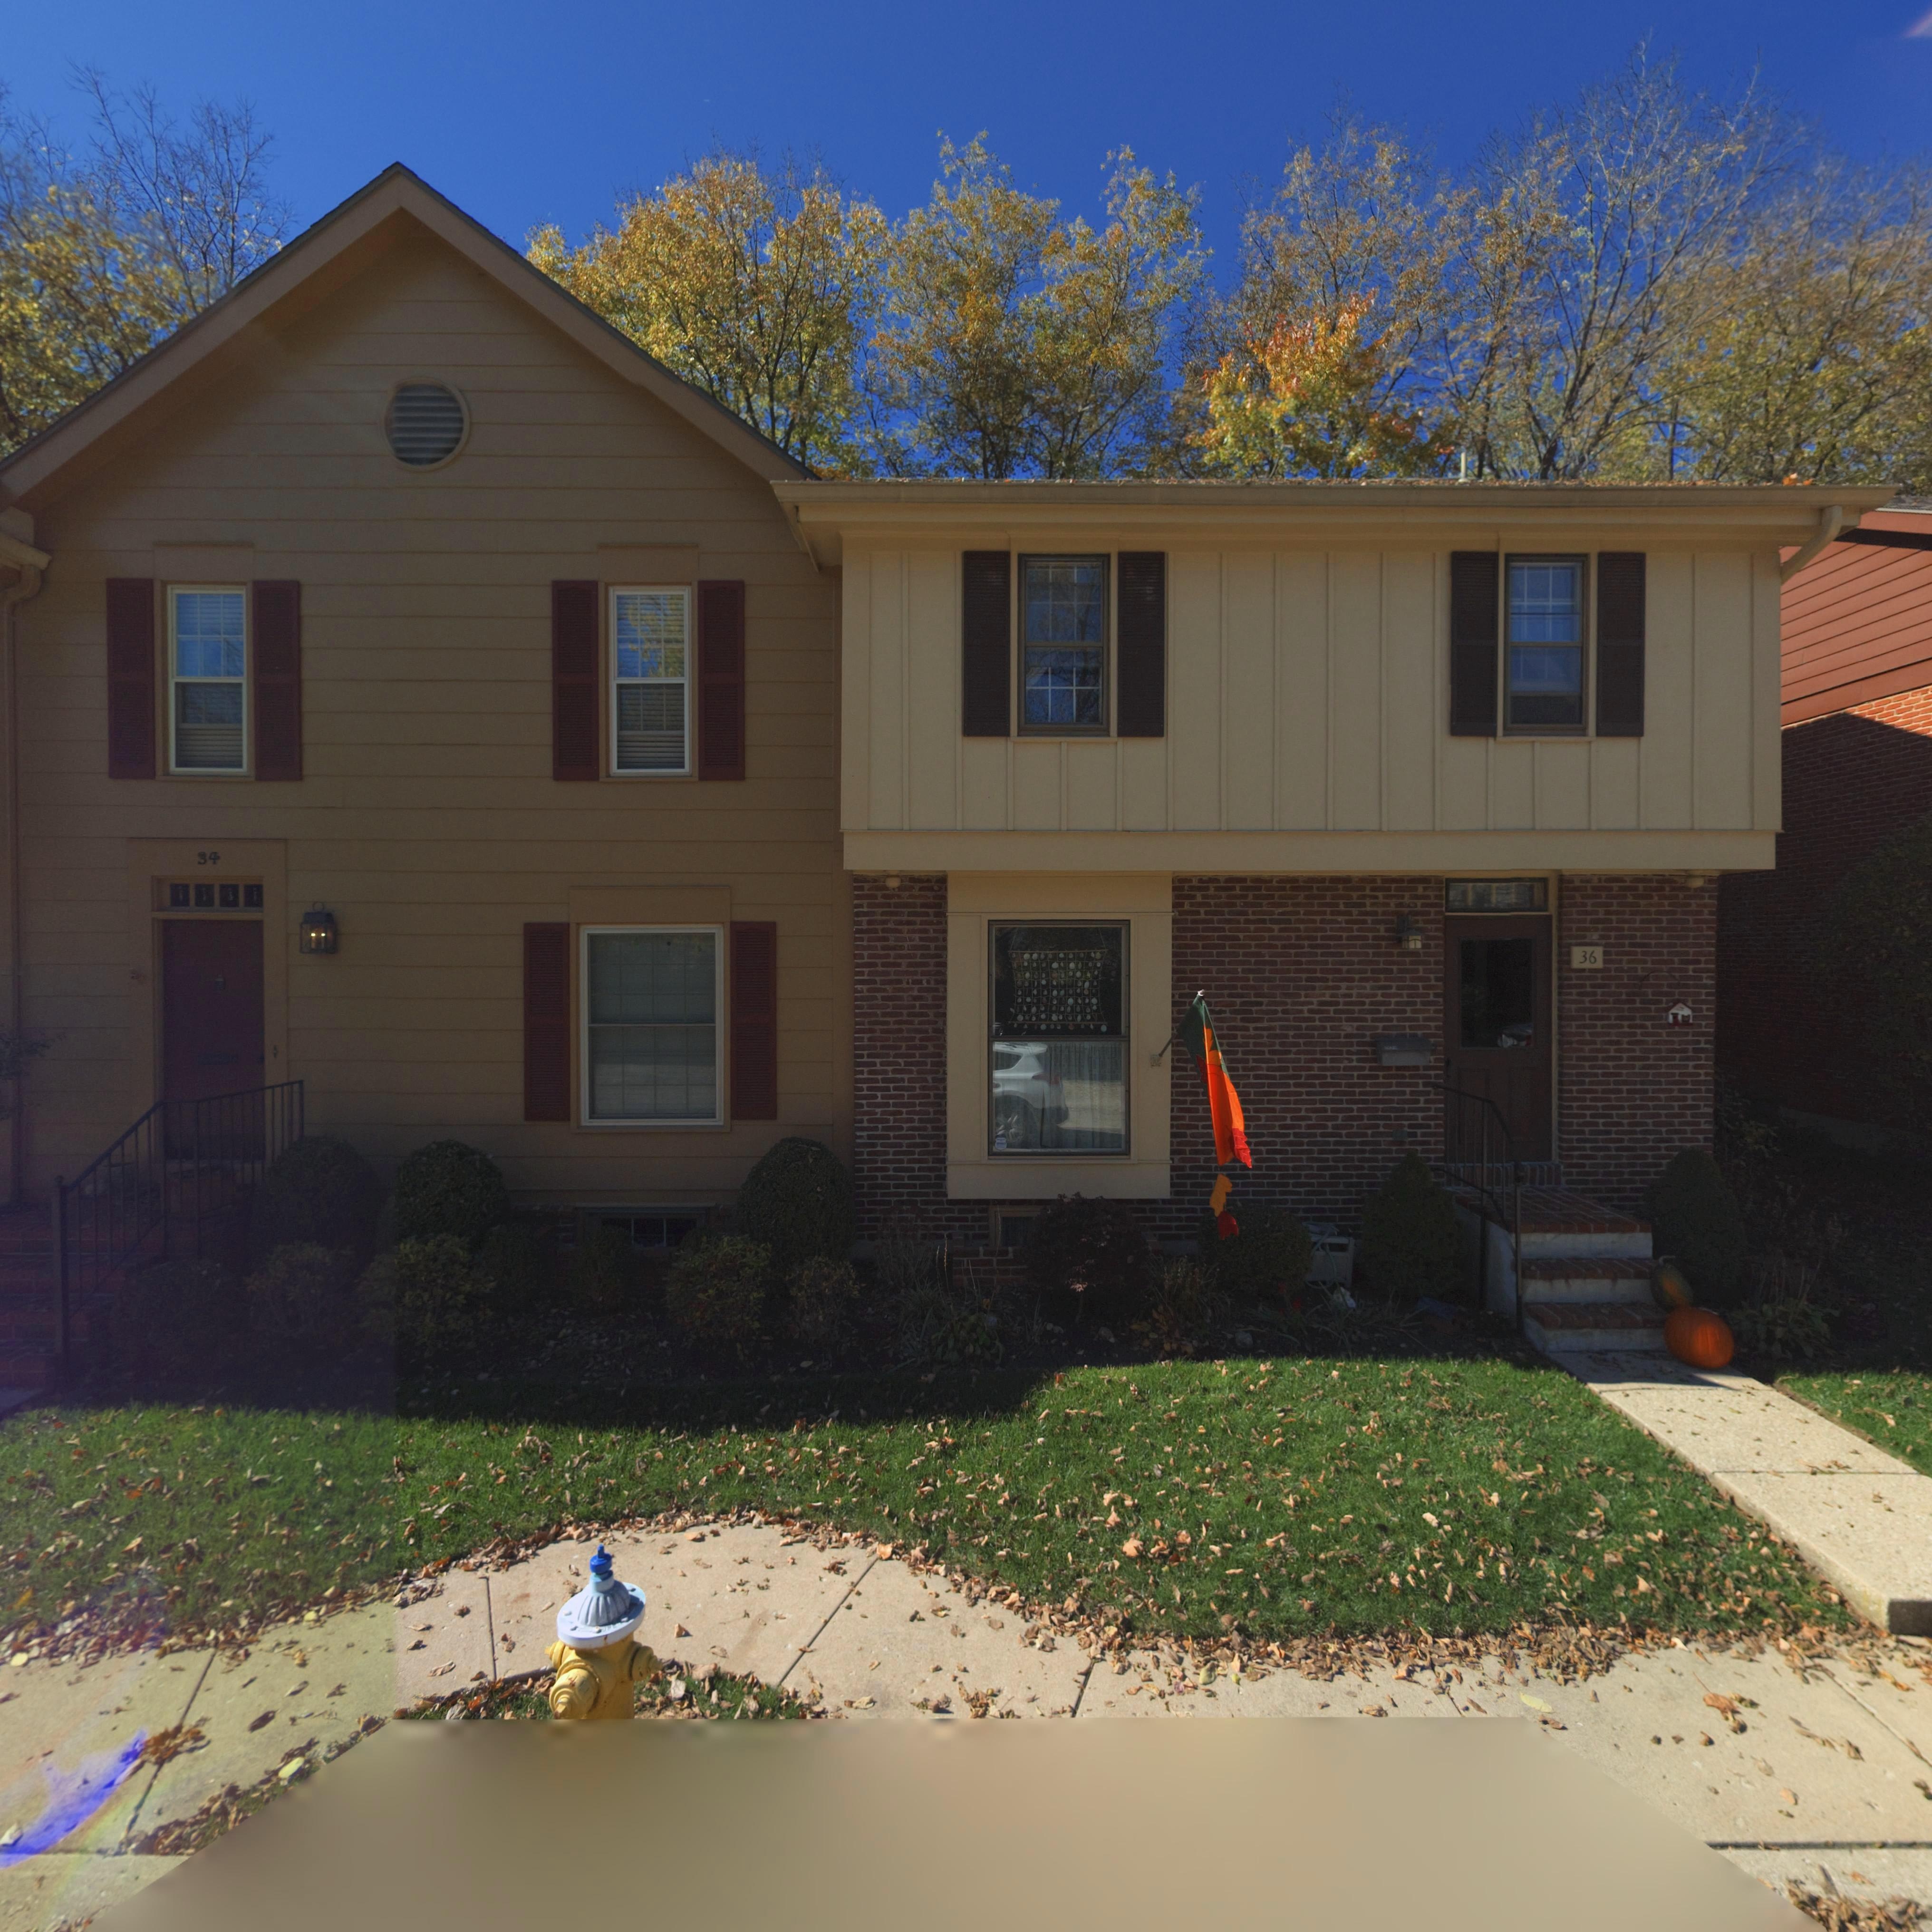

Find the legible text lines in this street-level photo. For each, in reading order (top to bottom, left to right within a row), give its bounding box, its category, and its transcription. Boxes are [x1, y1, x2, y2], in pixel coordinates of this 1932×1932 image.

[197, 850, 221, 866] StreetNumber: 34
[1578, 949, 1597, 965] StreetNumber: 36